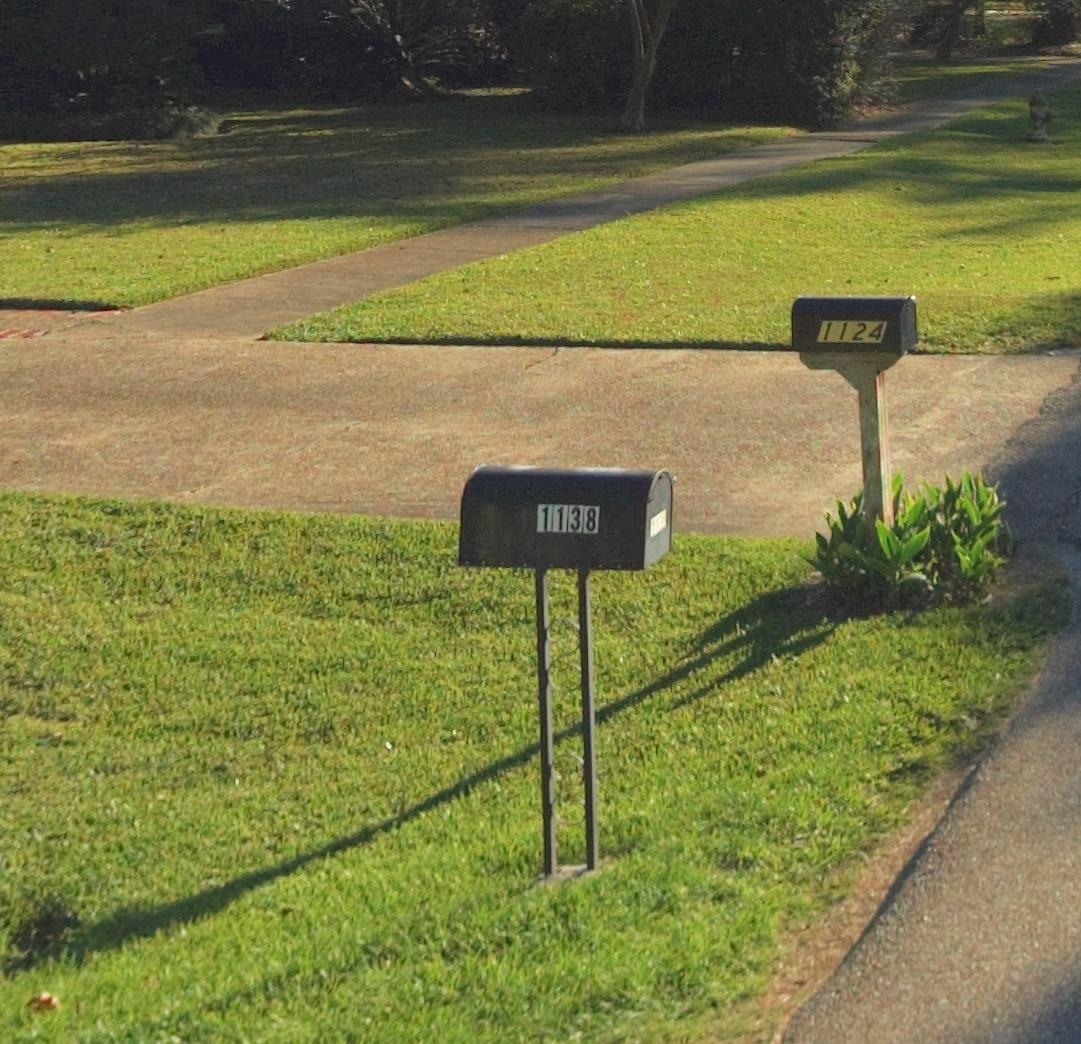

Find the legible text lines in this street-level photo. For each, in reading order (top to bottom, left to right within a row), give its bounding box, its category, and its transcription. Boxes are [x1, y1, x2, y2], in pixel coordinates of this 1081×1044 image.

[820, 320, 886, 343] StreetNumber: 1124
[539, 504, 599, 533] StreetNumber: 1138